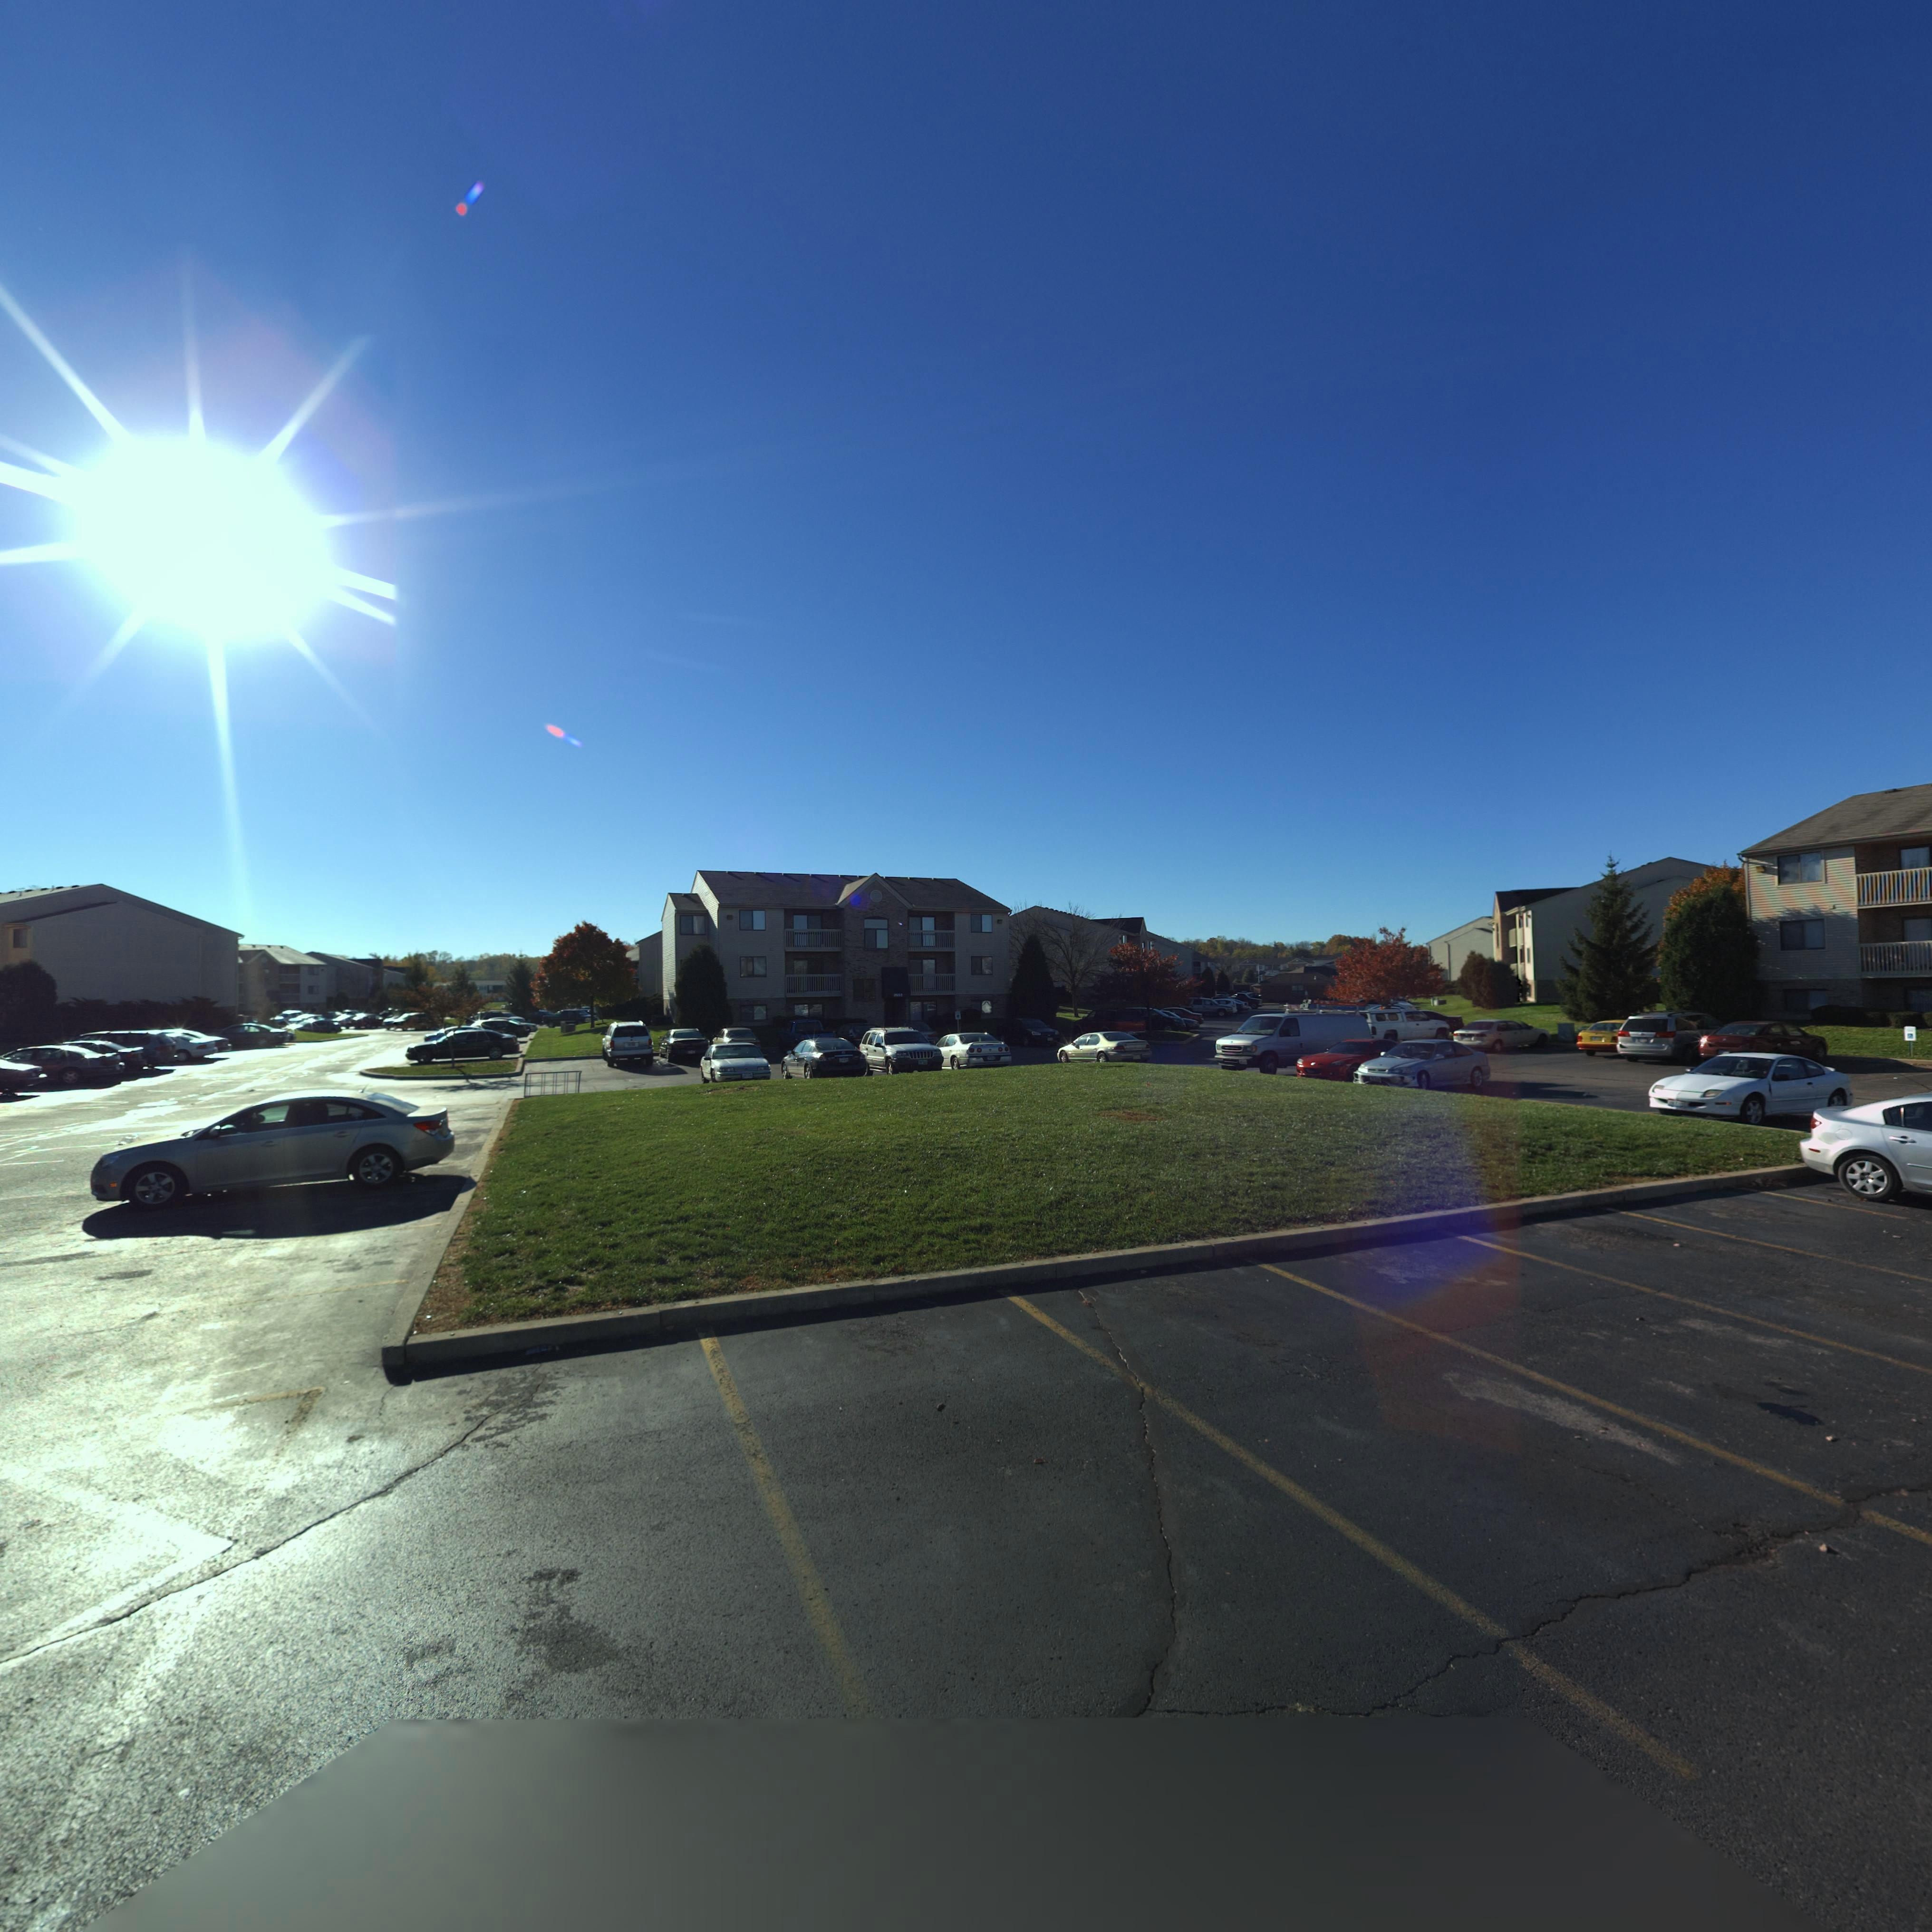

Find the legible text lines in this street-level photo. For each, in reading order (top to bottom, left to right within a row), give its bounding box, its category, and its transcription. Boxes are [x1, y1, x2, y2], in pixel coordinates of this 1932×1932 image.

[893, 993, 903, 997] StreetNumber: 26**s